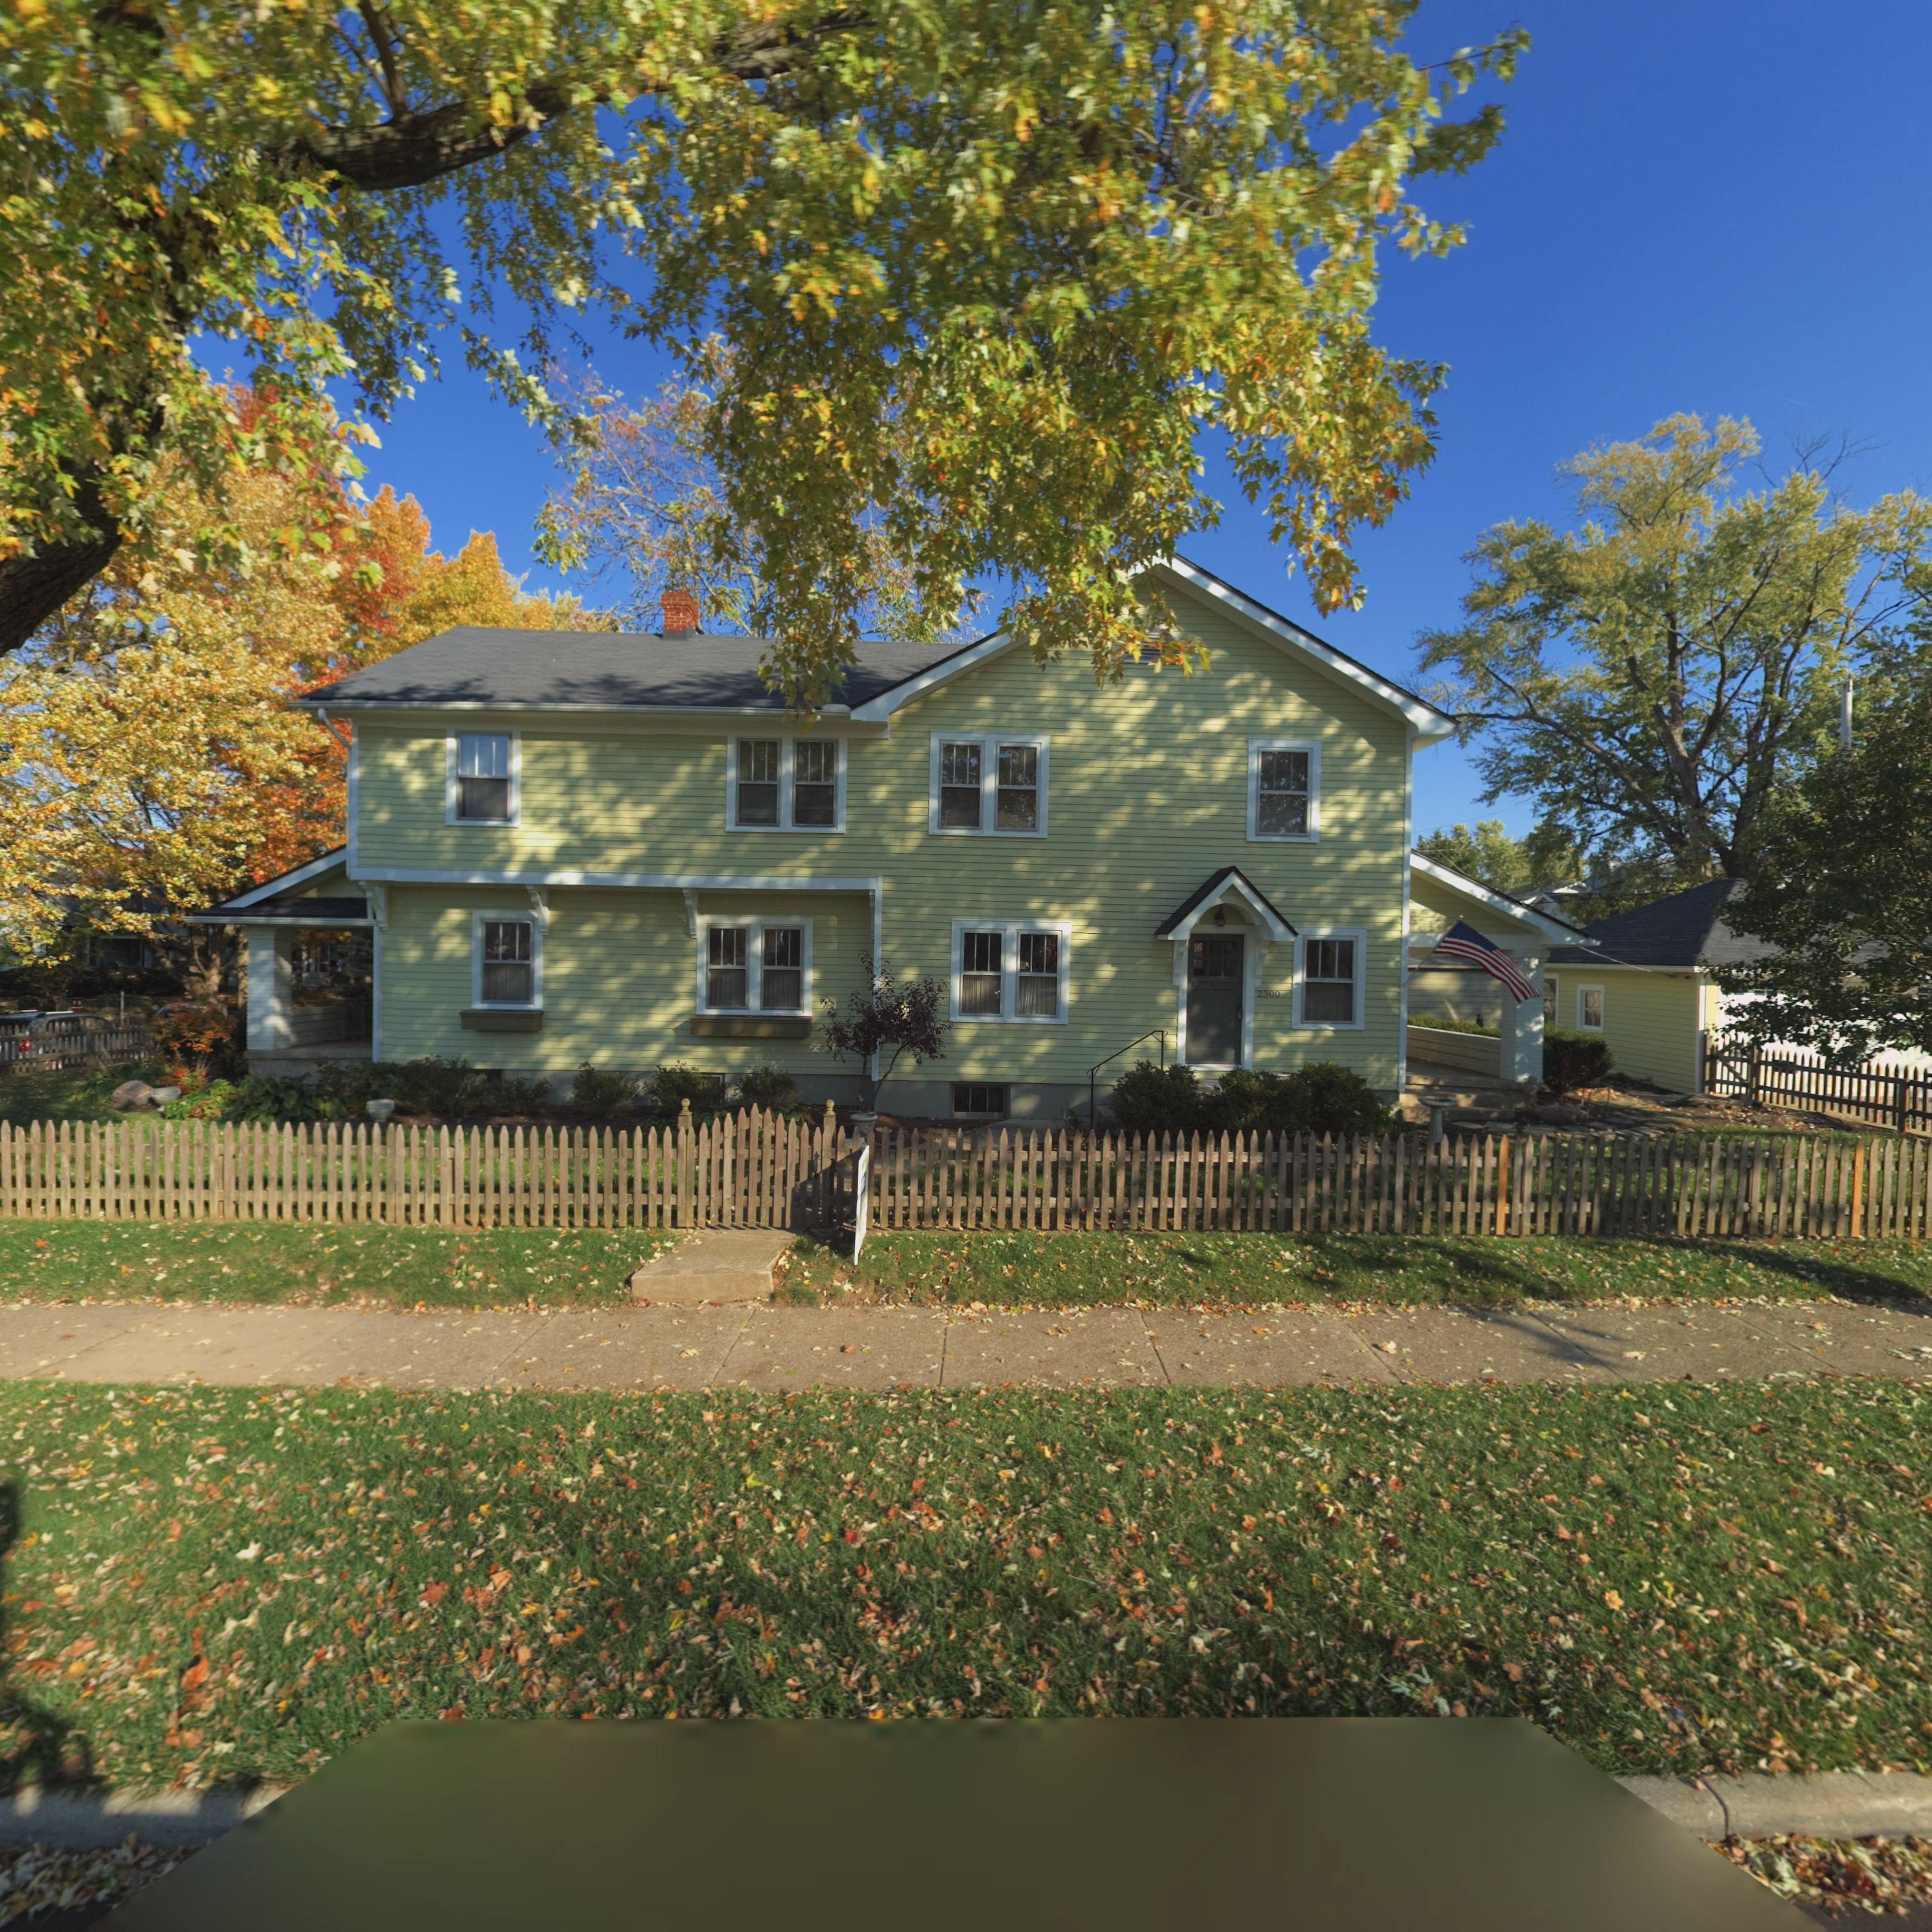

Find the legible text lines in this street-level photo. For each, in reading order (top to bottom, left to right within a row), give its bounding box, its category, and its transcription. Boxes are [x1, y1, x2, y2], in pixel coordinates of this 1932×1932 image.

[1256, 988, 1281, 999] StreetNumber: 2300